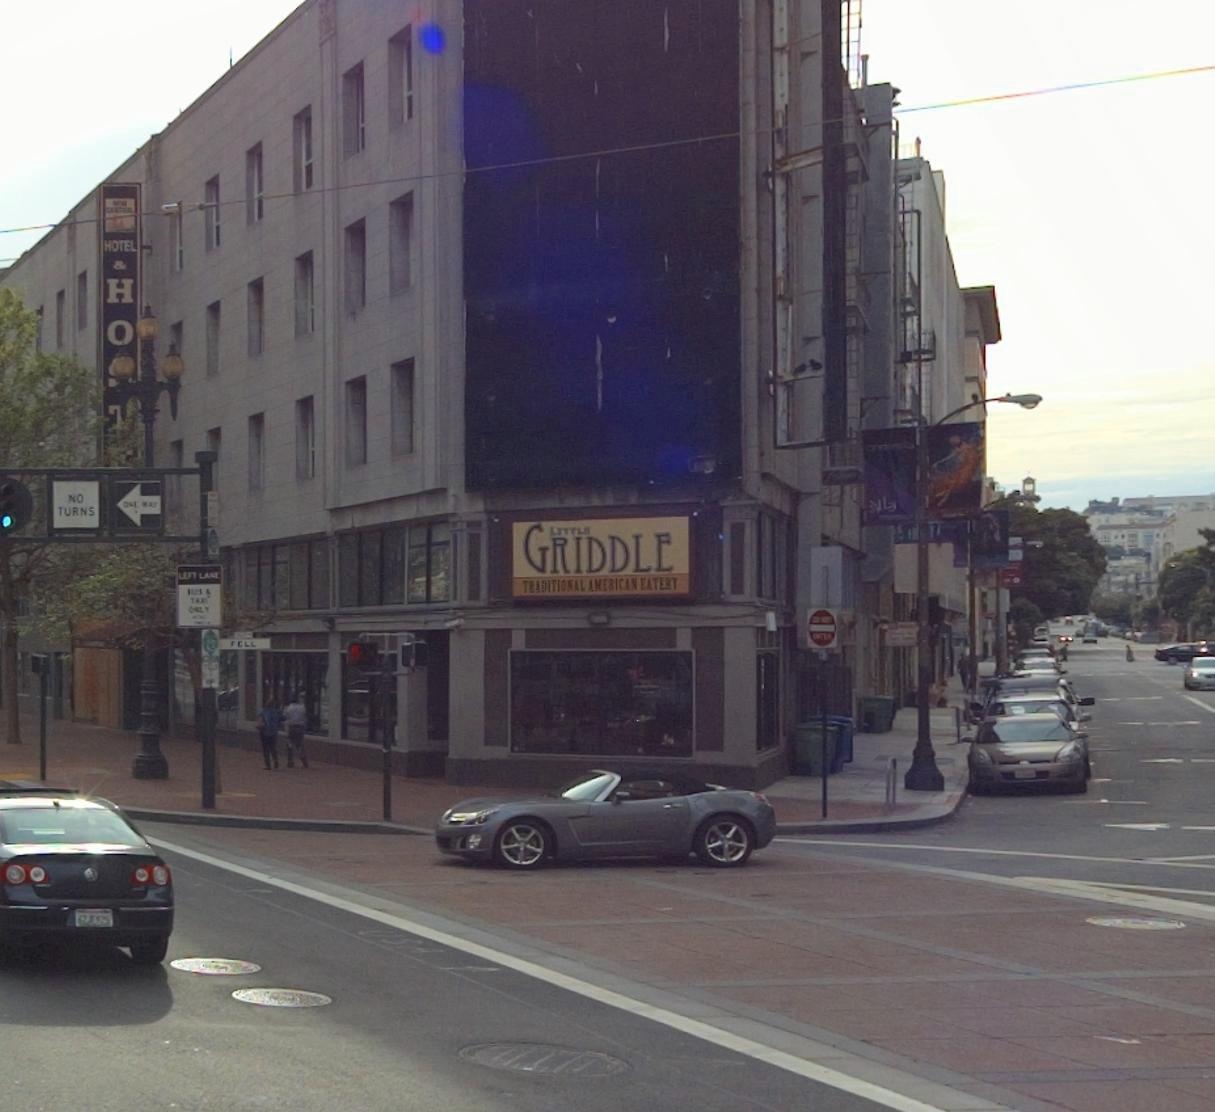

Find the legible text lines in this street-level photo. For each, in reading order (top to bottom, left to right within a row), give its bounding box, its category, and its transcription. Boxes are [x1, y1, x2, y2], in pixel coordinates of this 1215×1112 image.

[102, 237, 140, 254] BusinessName: HOTEL
[104, 275, 137, 350] BusinessName: HO
[65, 491, 87, 506] None: NO
[55, 503, 98, 519] None: TURNS
[120, 498, 161, 511] None: ONE WAY
[547, 523, 593, 539] BusinessName: LITTLE
[519, 520, 677, 577] BusinessName: GRIDDLE
[177, 569, 218, 582] None: LEFT LAN
[519, 574, 681, 597] BusinessName: TRADITIONAL AMAERICAN EATERY
[228, 638, 259, 650] StreetNumber: *ELL